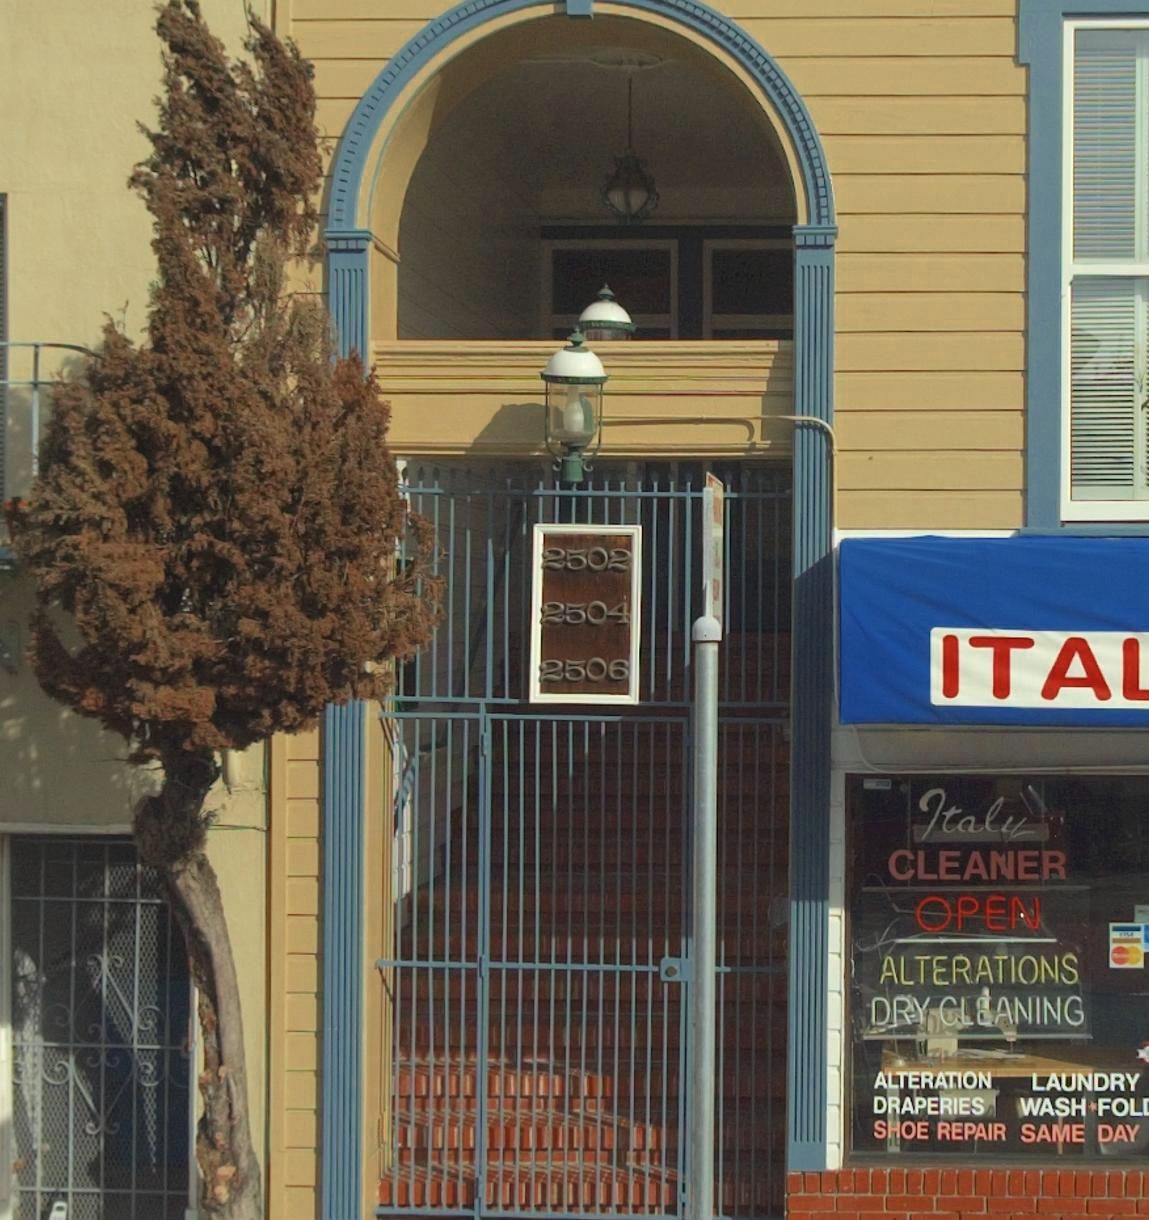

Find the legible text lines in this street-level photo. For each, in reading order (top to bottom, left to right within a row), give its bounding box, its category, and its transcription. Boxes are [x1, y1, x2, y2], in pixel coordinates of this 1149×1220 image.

[537, 544, 635, 574] StreetNumber: 2502
[537, 598, 633, 628] StreetNumber: 2504
[537, 654, 632, 685] StreetNumber: 2506
[937, 632, 1116, 704] BusinessName: ITA
[914, 785, 1038, 852] BusinessName: Italy
[885, 847, 1069, 883] BusinessName: CLEANER
[912, 892, 1043, 935] None: OPEN
[877, 952, 1081, 987] None: ALTERATIONS
[868, 993, 1087, 1029] None: DRY CLEANING
[871, 1069, 995, 1092] None: ALTERATION
[1028, 1069, 1144, 1095] None: LAUNDRY
[870, 1091, 986, 1118] None: DRAPERIES
[1017, 1094, 1145, 1119] None: WASH*FOL
[869, 1118, 1009, 1143] None: SHOE REPAIR
[1017, 1119, 1142, 1146] None: SAME DAY